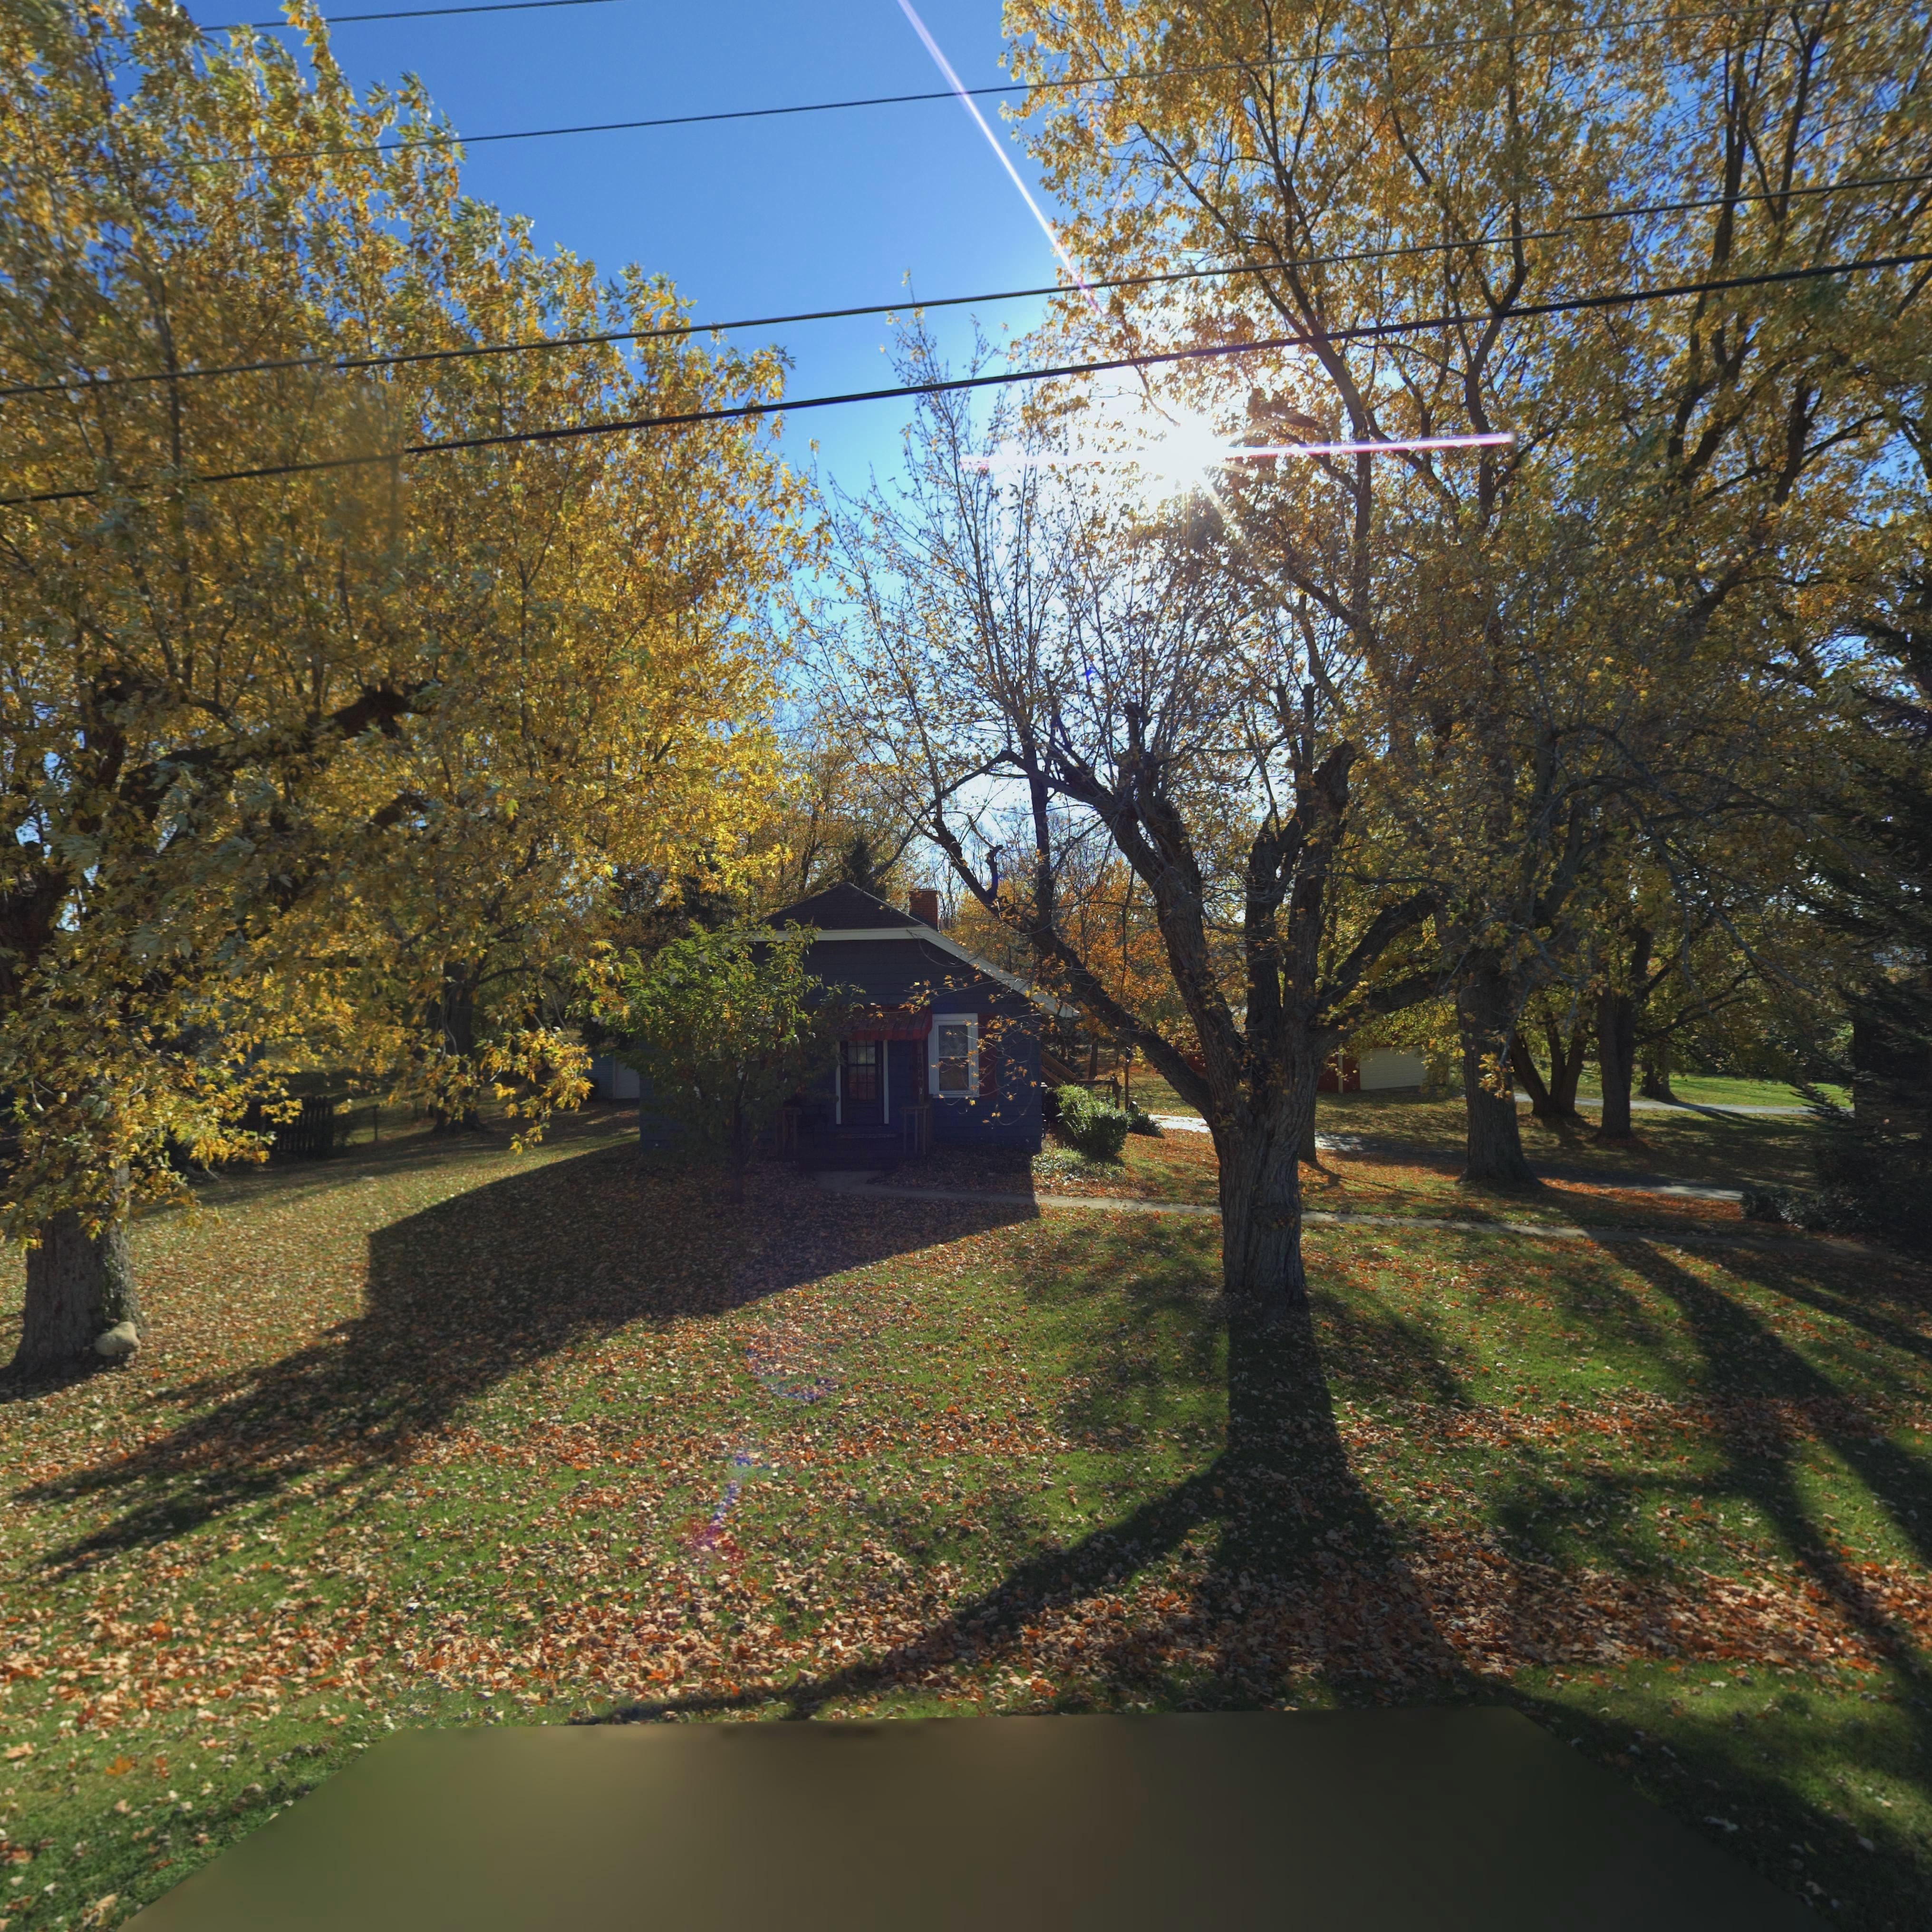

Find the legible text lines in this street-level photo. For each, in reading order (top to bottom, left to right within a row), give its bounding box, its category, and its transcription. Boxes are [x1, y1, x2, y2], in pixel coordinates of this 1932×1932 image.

[917, 1053, 923, 1087] StreetNumber: 7840